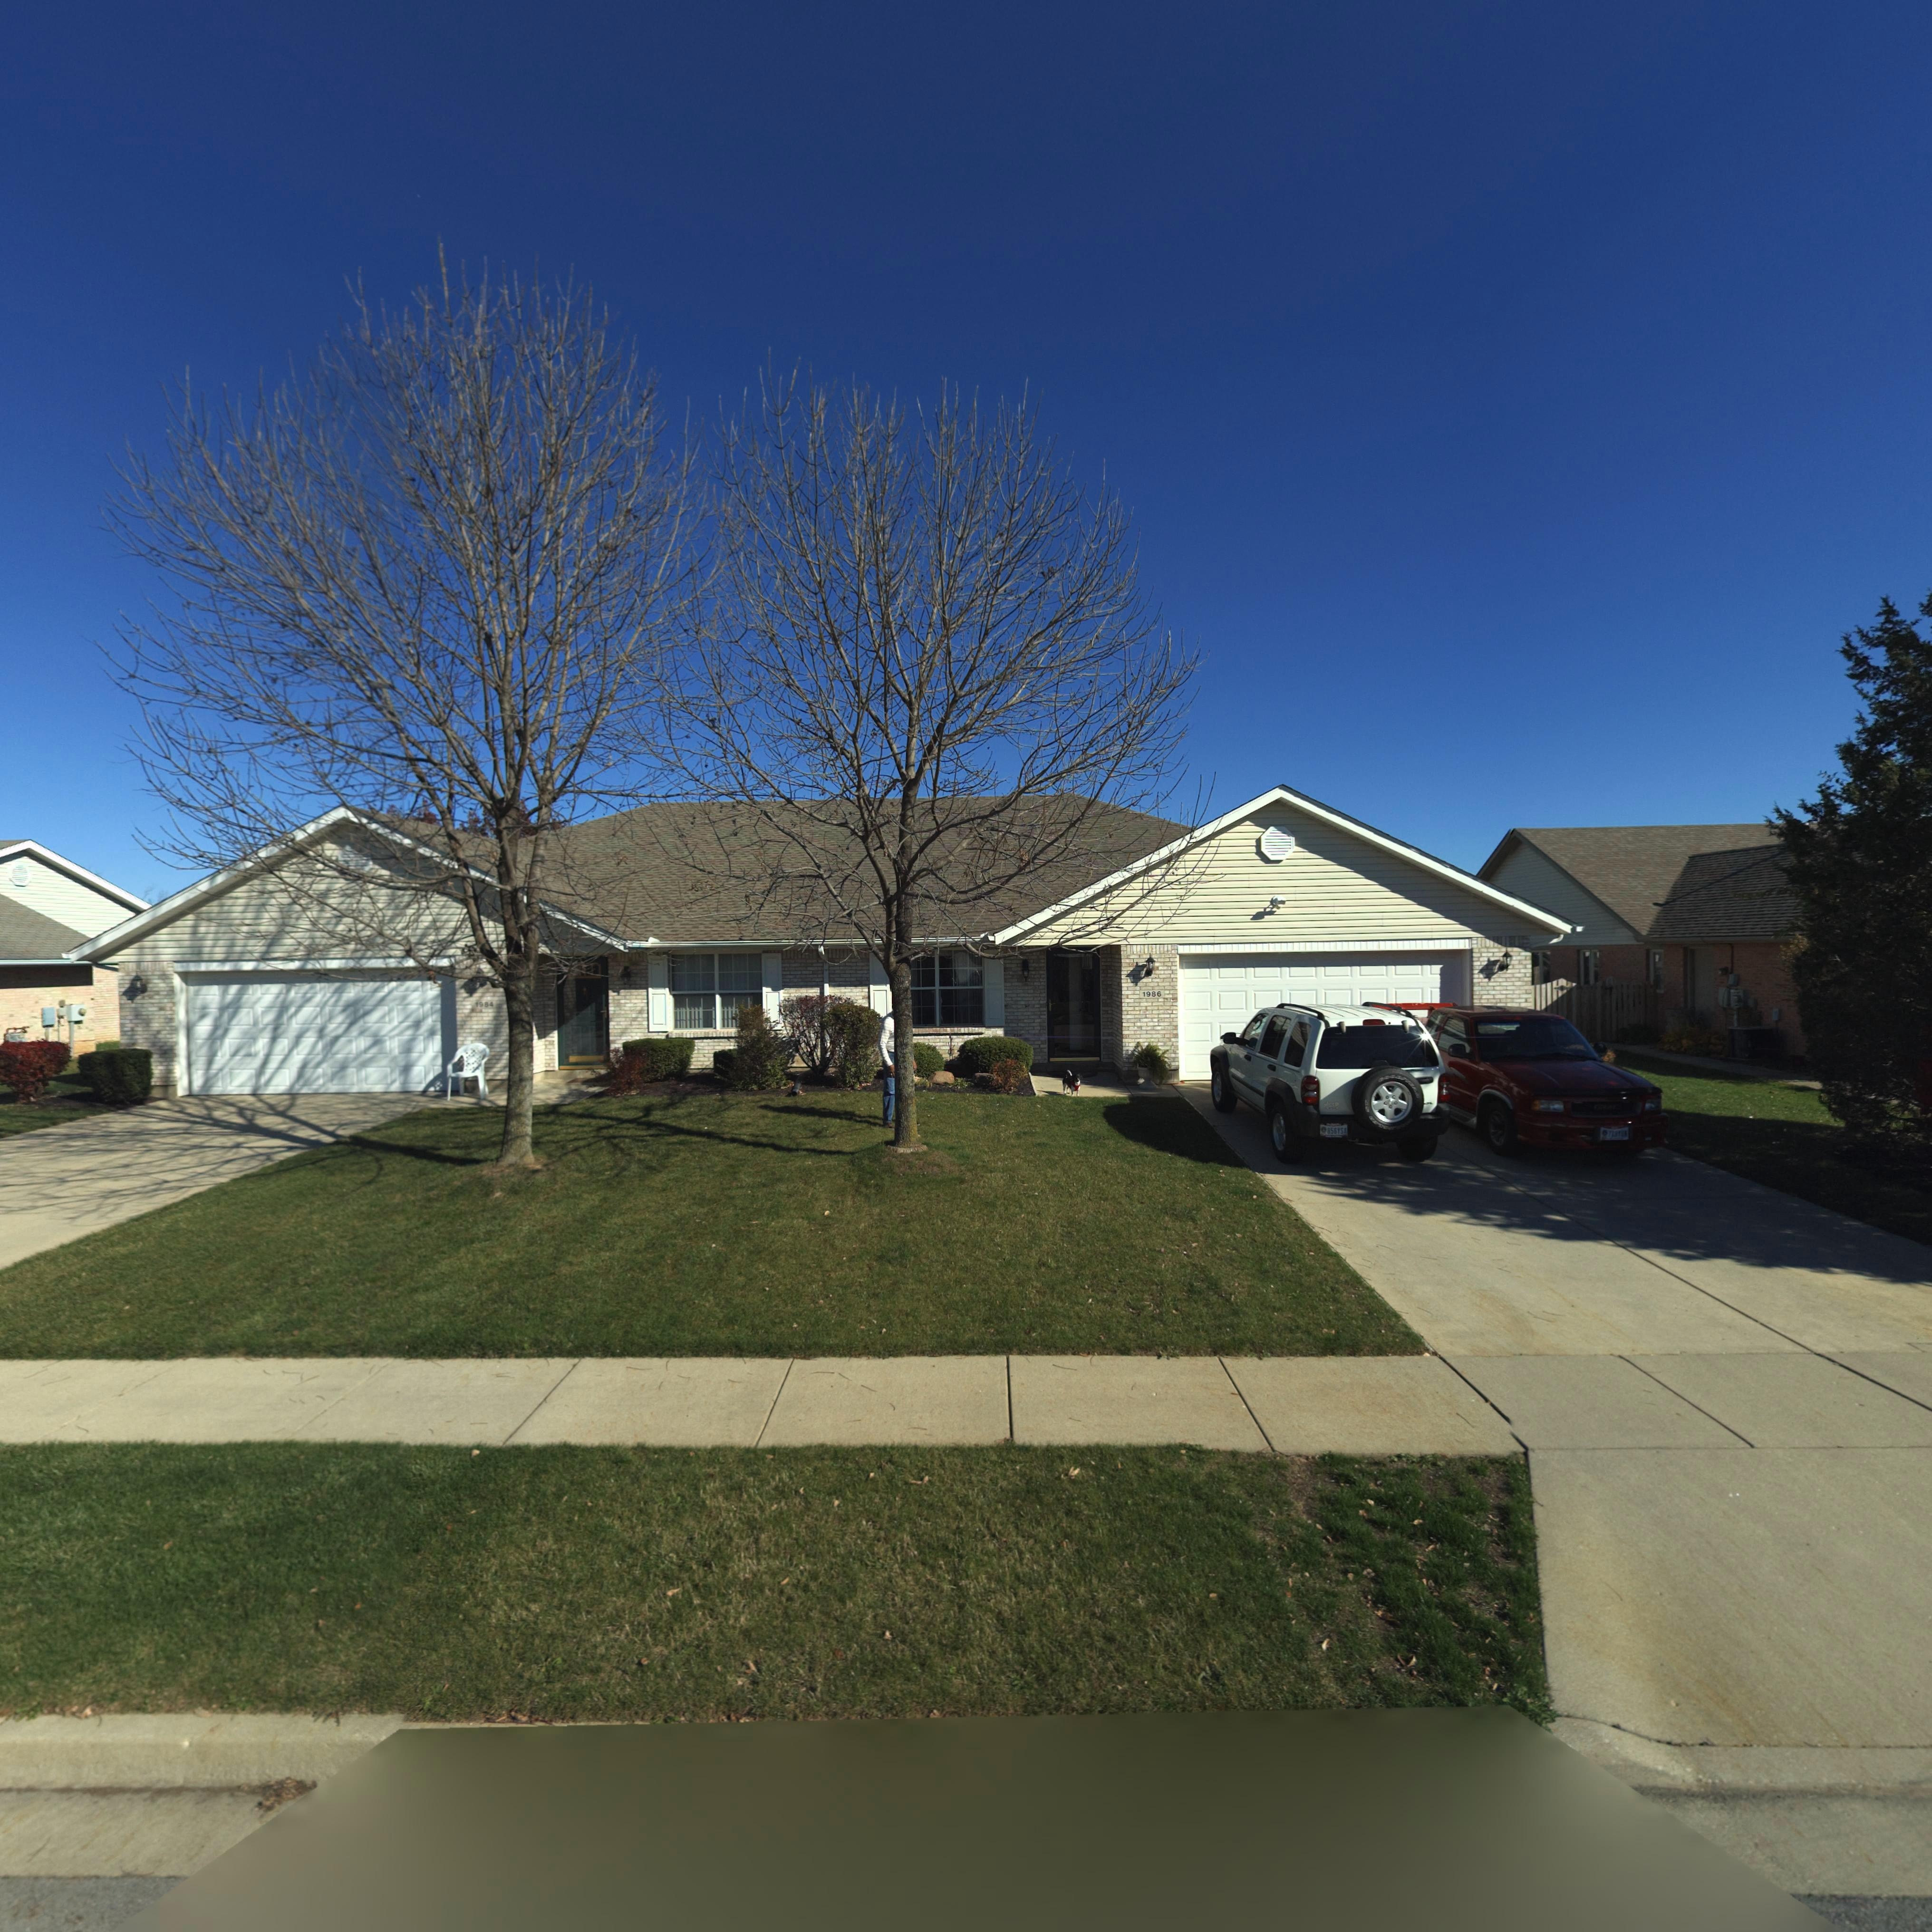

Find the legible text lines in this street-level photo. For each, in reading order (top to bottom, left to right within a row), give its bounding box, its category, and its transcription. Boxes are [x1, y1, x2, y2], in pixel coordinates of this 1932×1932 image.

[1141, 990, 1163, 998] StreetNumber: 1986
[474, 1001, 495, 1008] StreetNumber: 1984